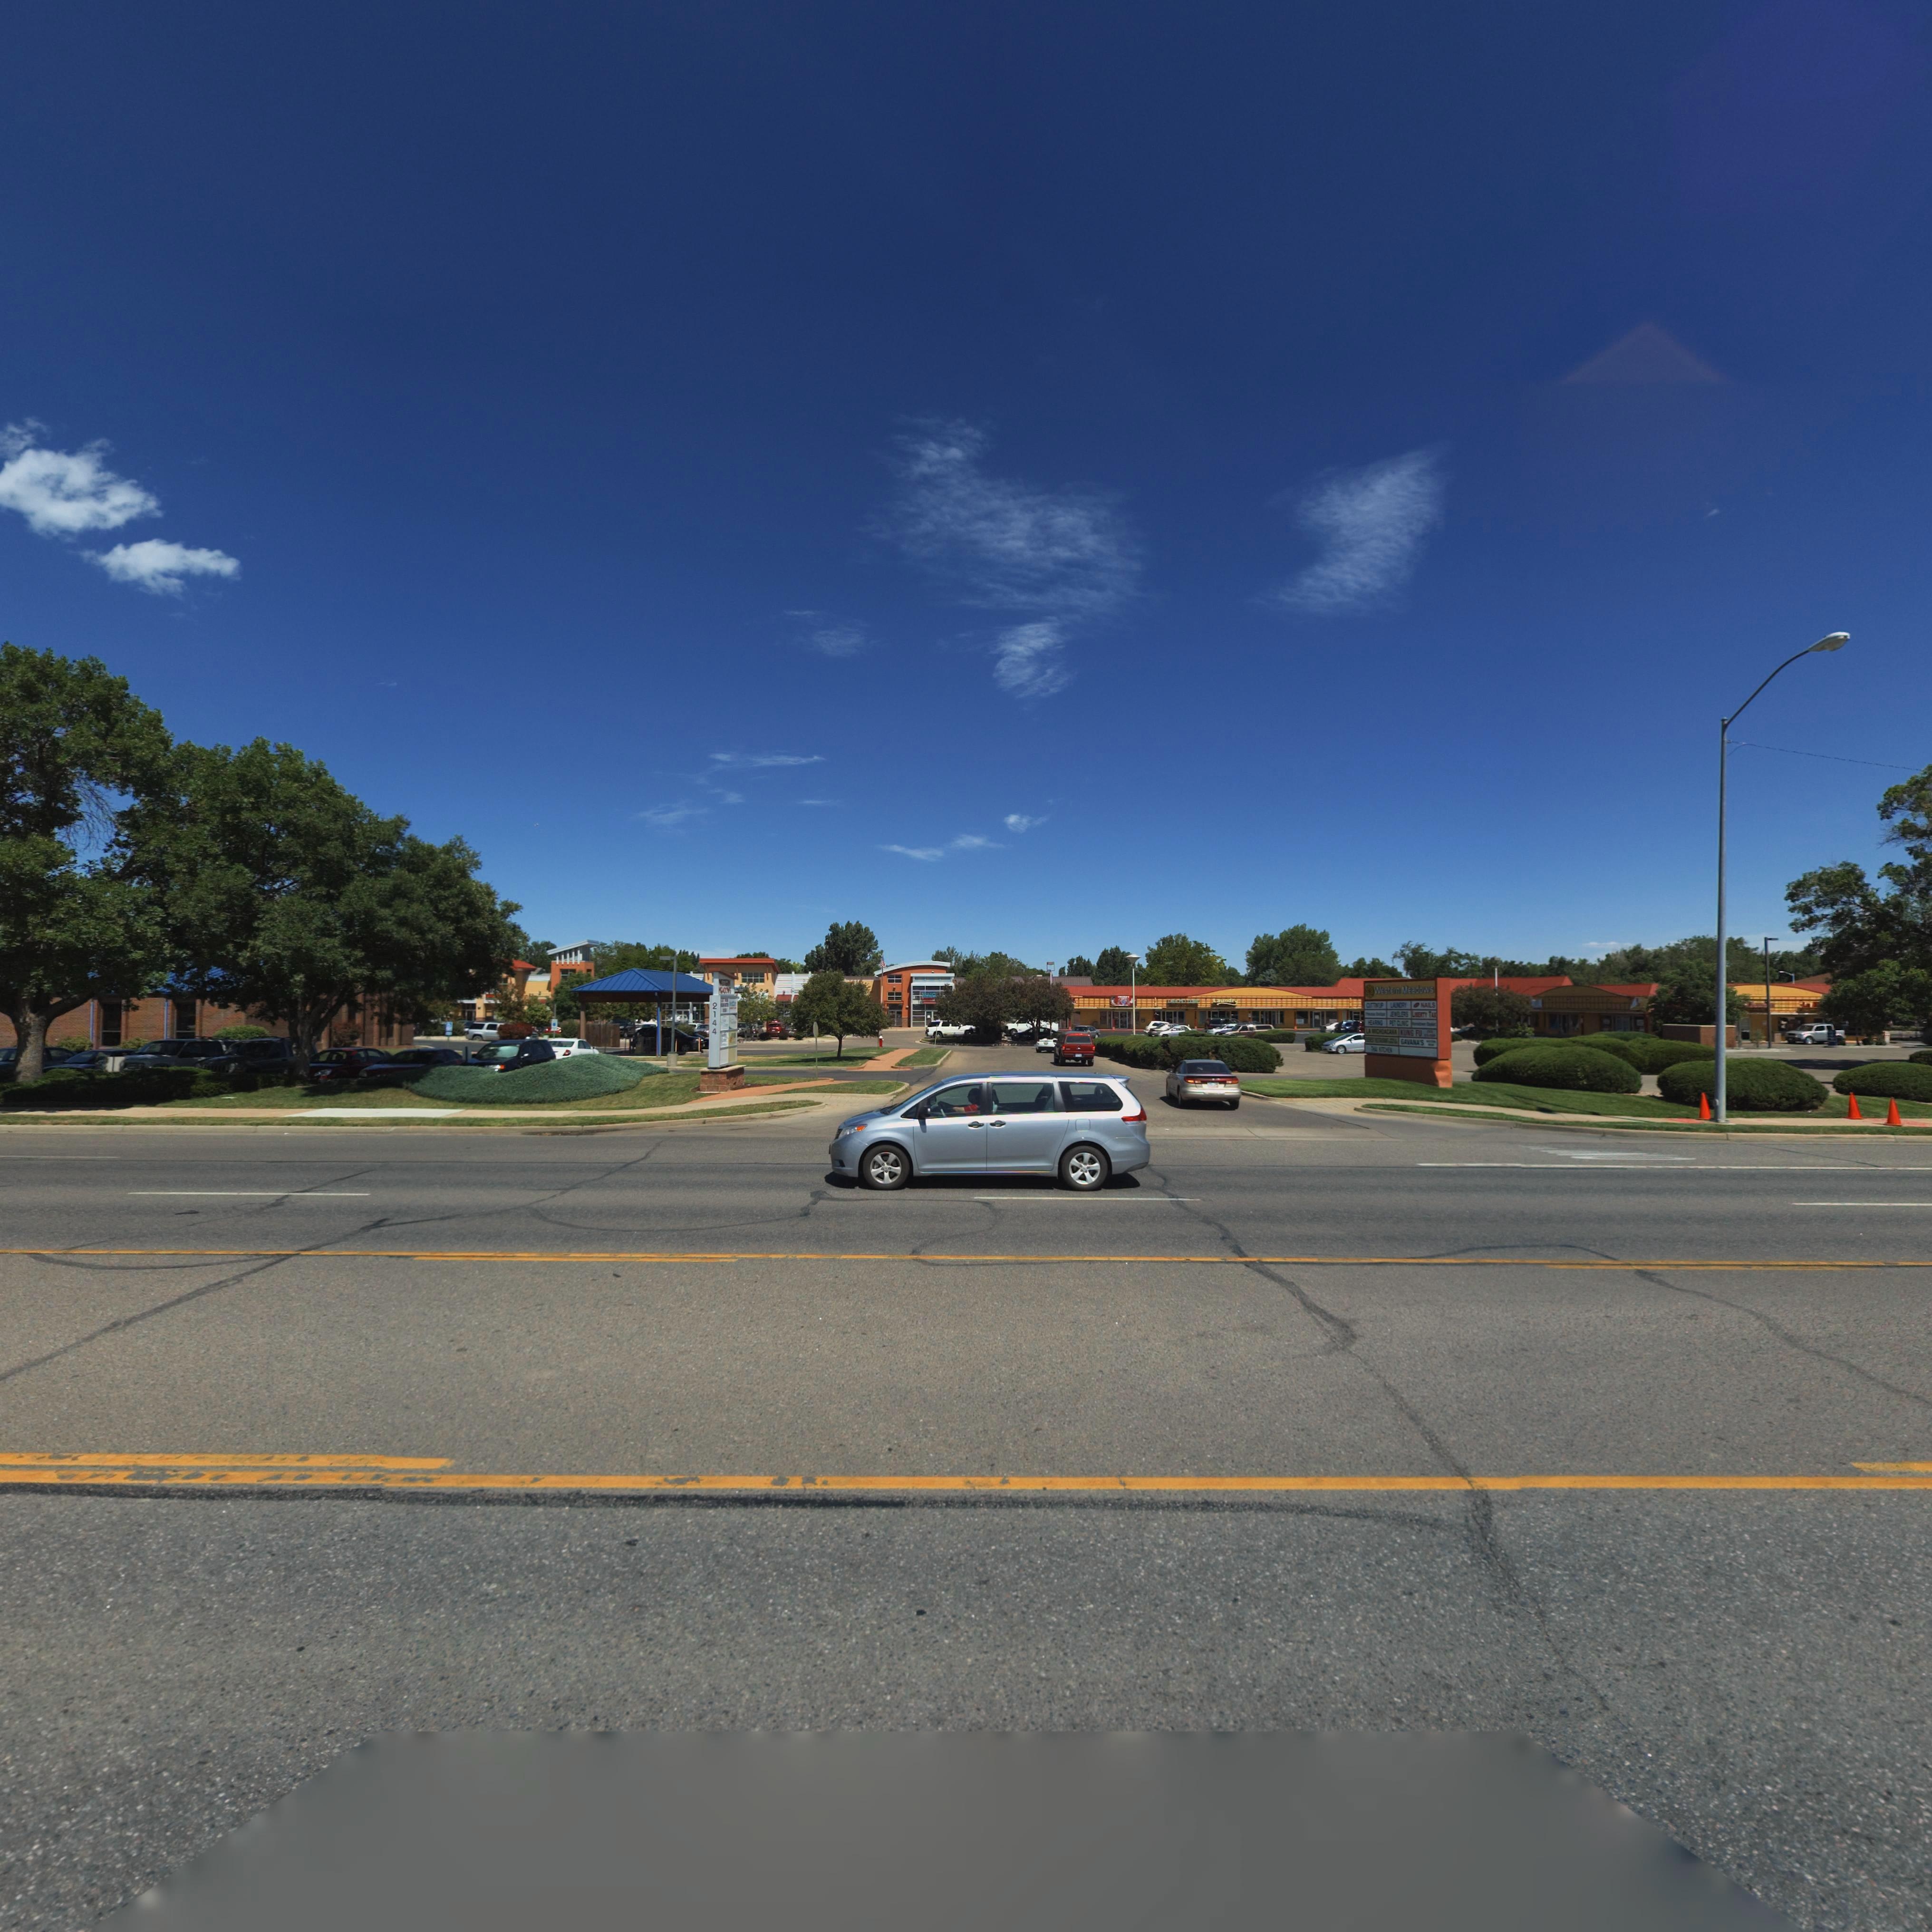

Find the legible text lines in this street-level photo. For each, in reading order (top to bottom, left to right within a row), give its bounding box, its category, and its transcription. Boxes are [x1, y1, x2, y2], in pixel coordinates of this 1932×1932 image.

[1365, 1002, 1385, 1008] BusinessName: CUTTIN UP
[1420, 1002, 1435, 1008] BusinessName: NAILS
[1411, 1011, 1437, 1018] BusinessName: LIBERTY TAX
[711, 1001, 718, 1035] StreetNumber: 2144
[1366, 1028, 1397, 1034] BusinessName: LA **CH*ACANA
[1400, 1039, 1424, 1045] BusinessName: GAVANA's
[1369, 1045, 1392, 1053] BusinessName: T**I ****HEN